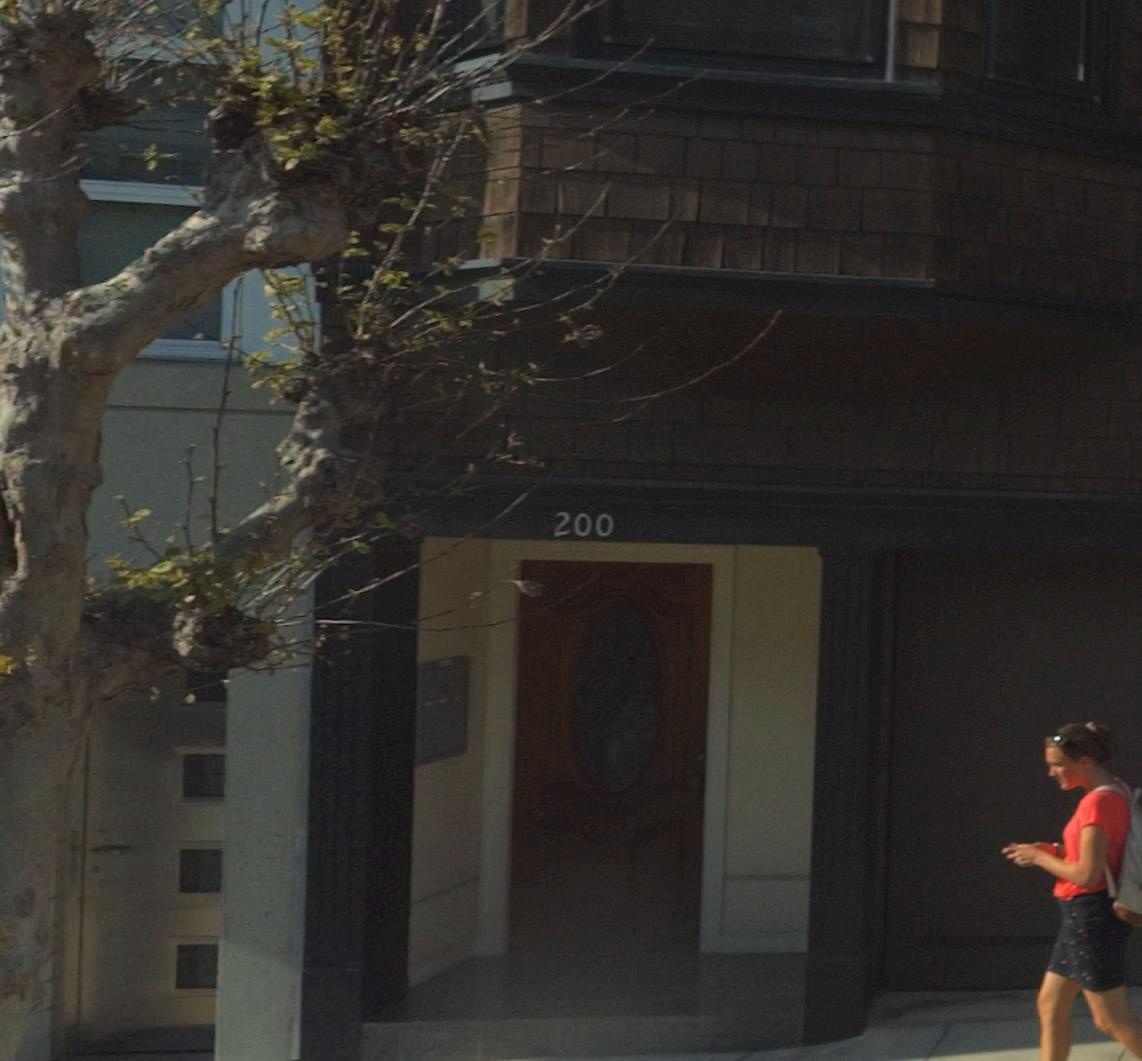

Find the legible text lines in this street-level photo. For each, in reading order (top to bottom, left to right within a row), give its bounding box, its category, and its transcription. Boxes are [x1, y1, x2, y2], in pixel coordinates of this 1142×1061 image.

[550, 508, 615, 539] StreetNumber: 200